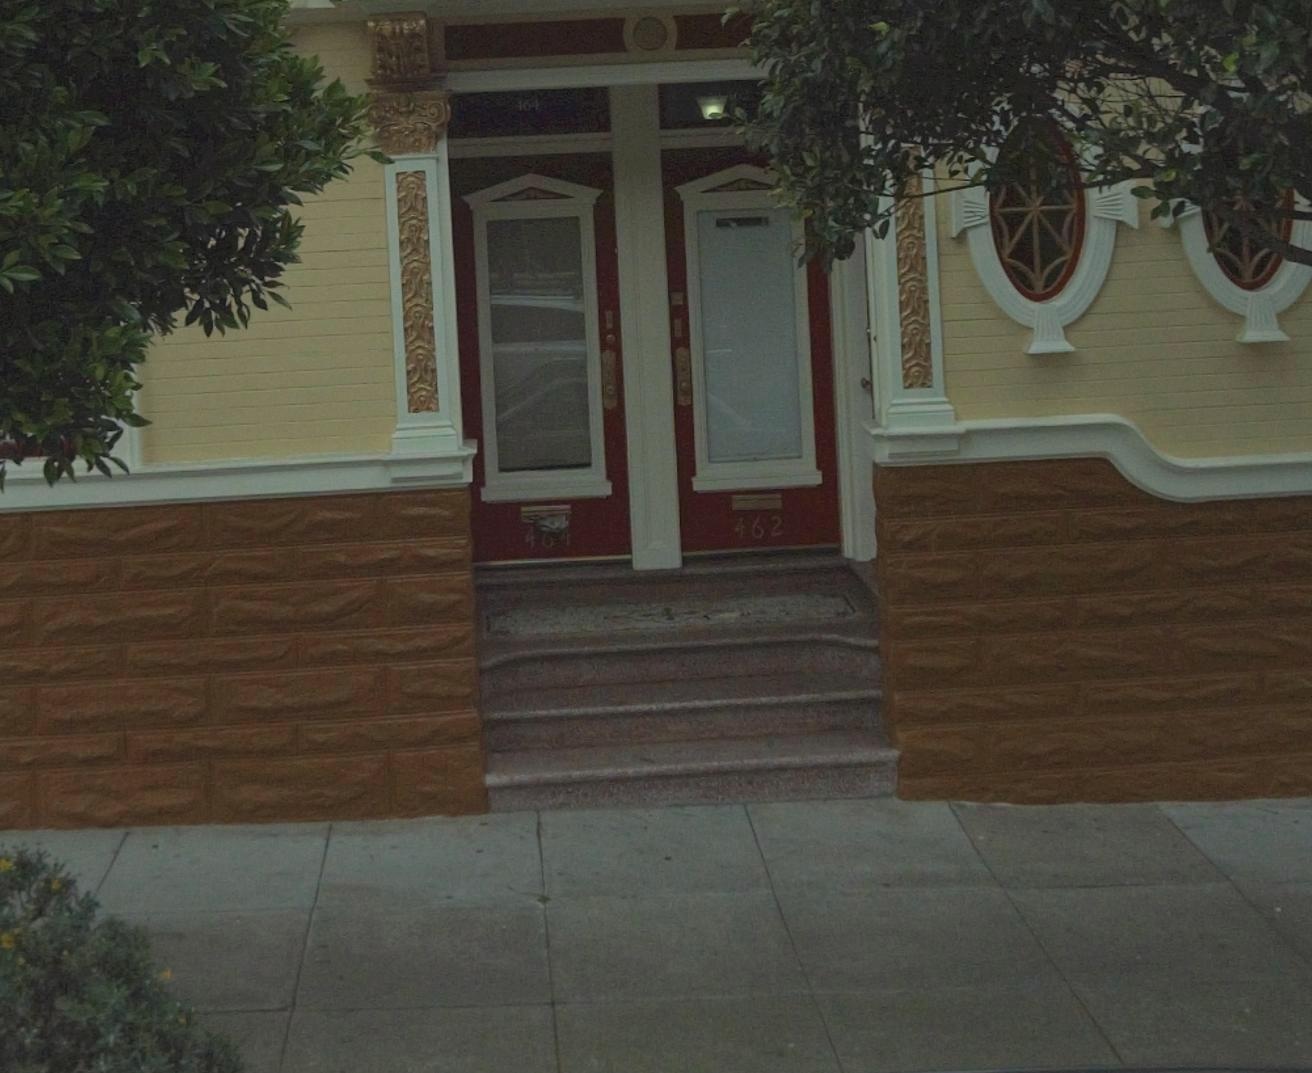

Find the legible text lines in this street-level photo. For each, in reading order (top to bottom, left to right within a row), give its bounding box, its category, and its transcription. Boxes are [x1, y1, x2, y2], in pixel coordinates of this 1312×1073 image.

[515, 98, 540, 112] StreetNumber: 464
[522, 524, 573, 551] StreetNumber: 464
[732, 513, 785, 541] StreetNumber: 462